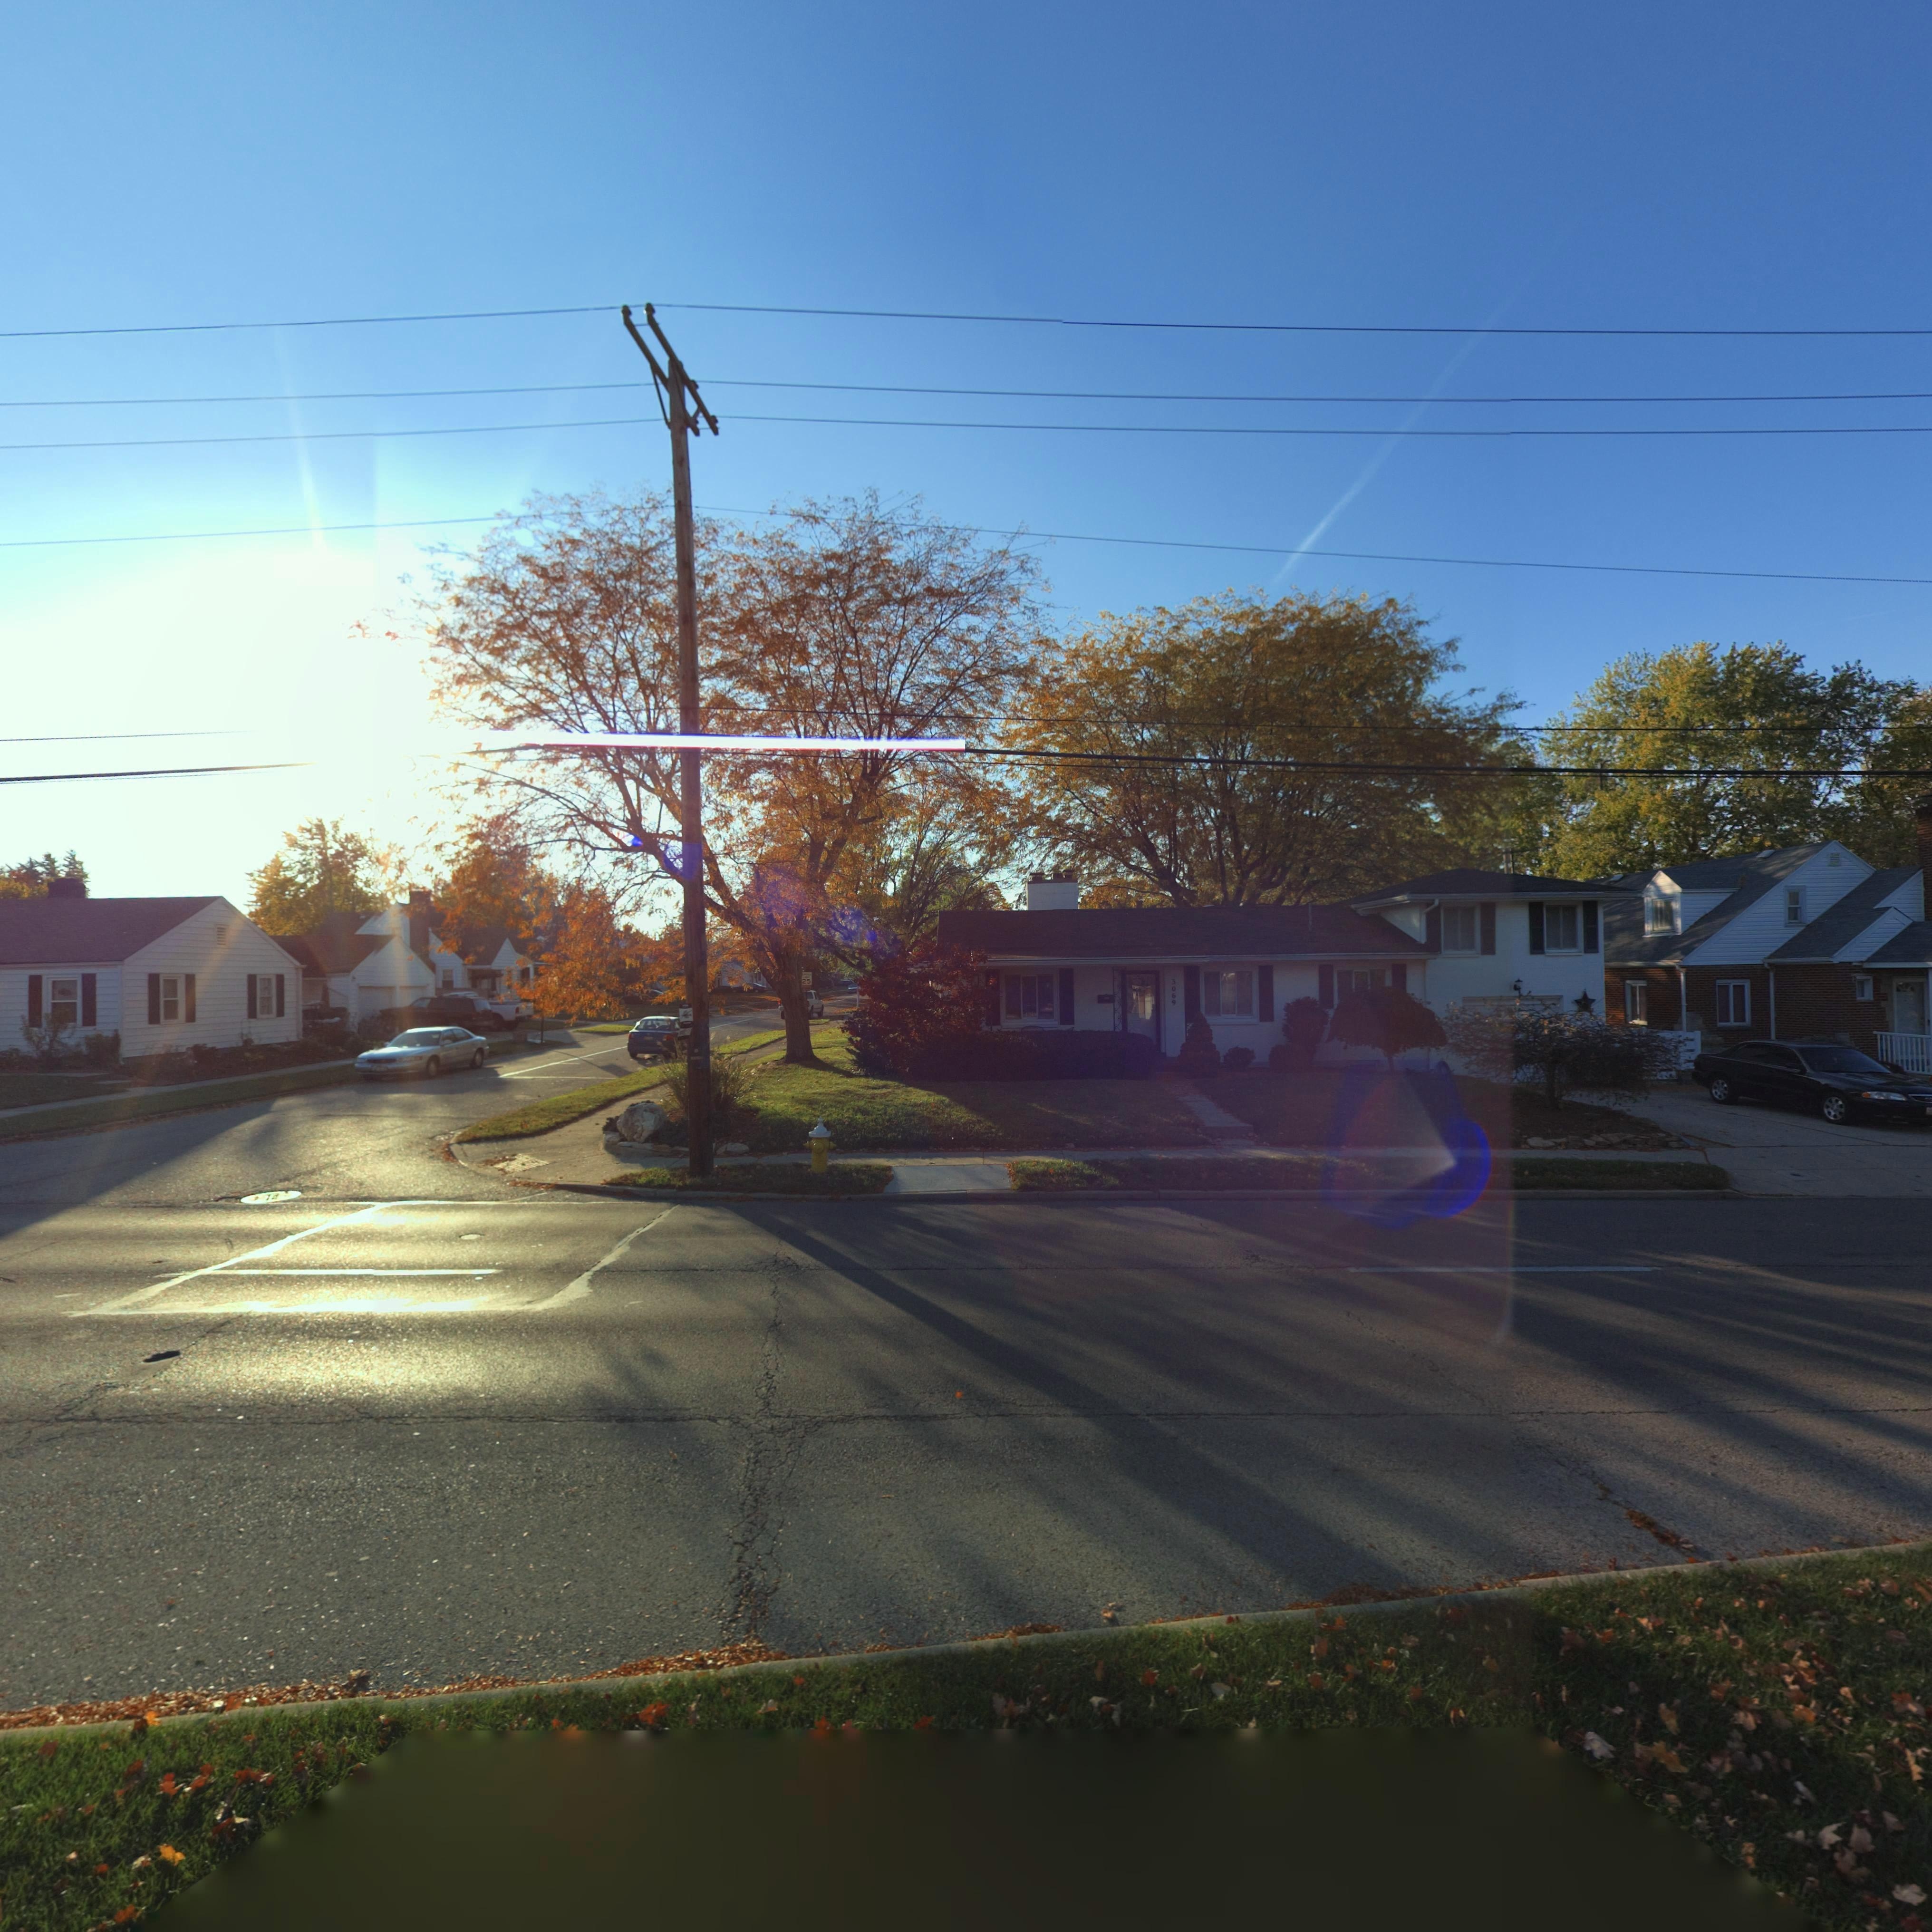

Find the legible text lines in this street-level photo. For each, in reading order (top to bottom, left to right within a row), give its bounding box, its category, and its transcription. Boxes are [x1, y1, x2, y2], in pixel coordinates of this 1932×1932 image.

[1171, 978, 1177, 1006] StreetNumber: 3069